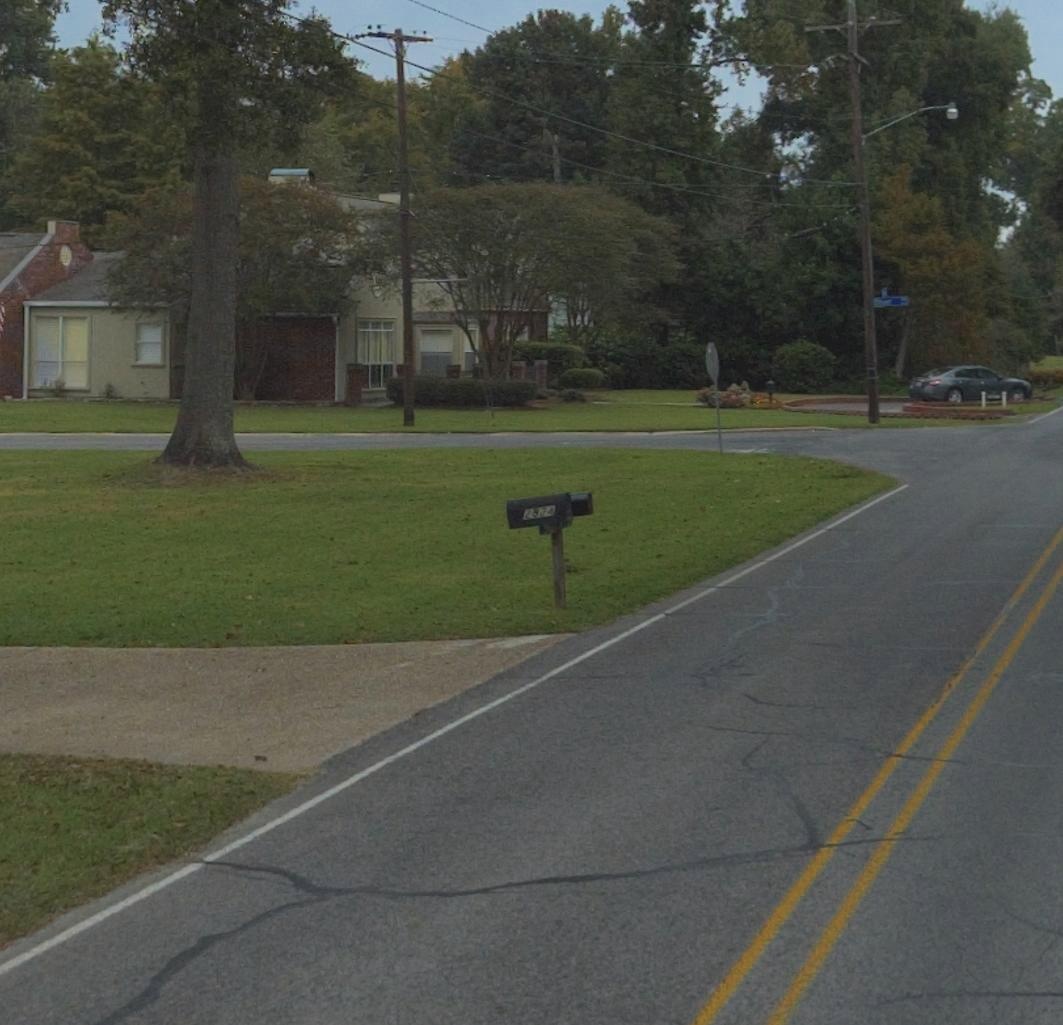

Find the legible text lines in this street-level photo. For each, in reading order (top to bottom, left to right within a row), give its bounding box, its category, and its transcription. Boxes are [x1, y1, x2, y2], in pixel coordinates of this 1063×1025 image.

[523, 506, 557, 520] StreetNumber: 2824